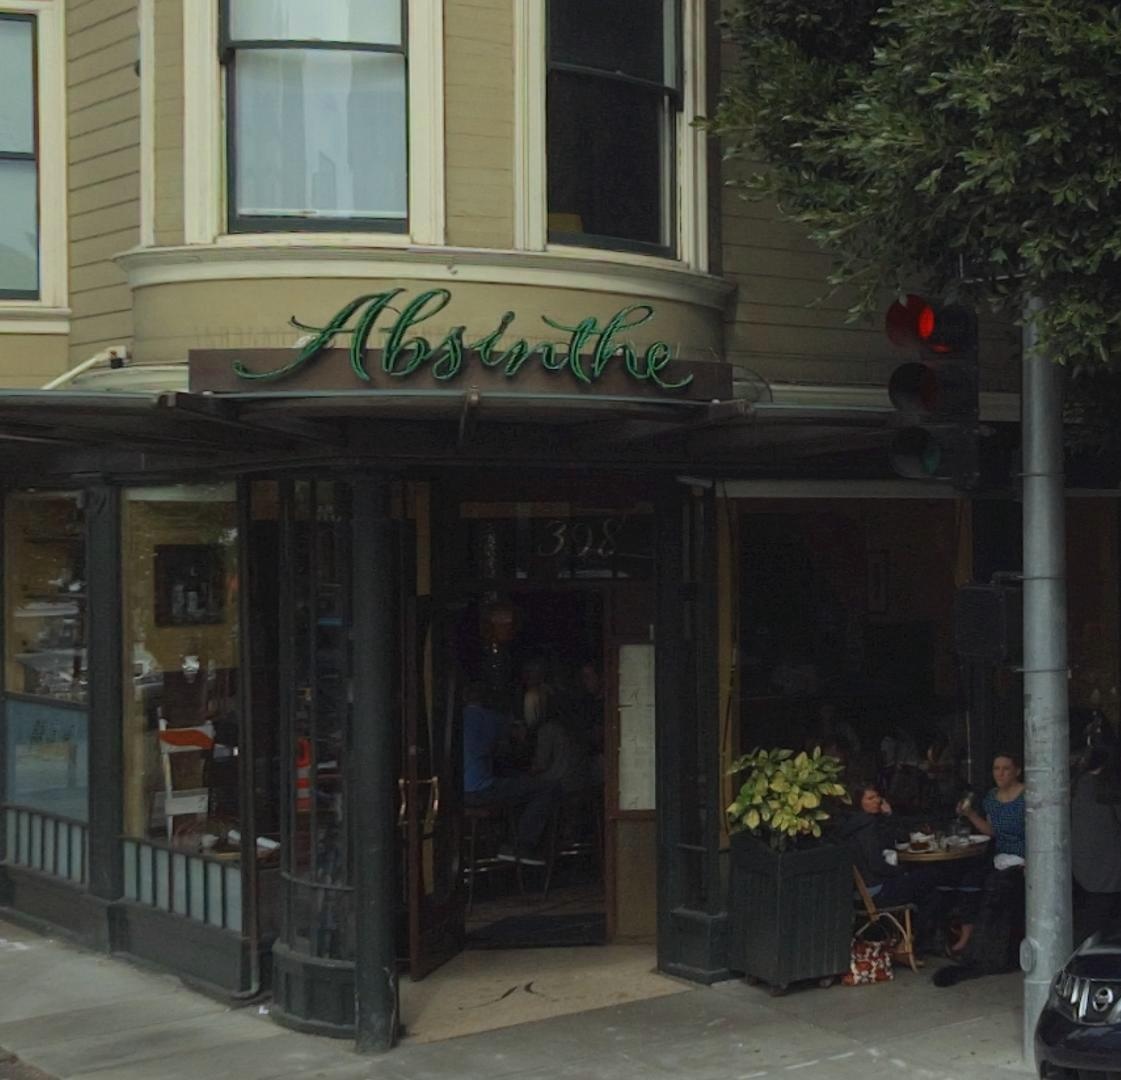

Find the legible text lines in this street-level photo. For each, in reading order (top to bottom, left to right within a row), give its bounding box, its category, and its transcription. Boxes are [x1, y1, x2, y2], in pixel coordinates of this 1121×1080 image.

[264, 284, 699, 391] BusinessName: Ab*inthe
[534, 515, 625, 563] StreetNumber: 398